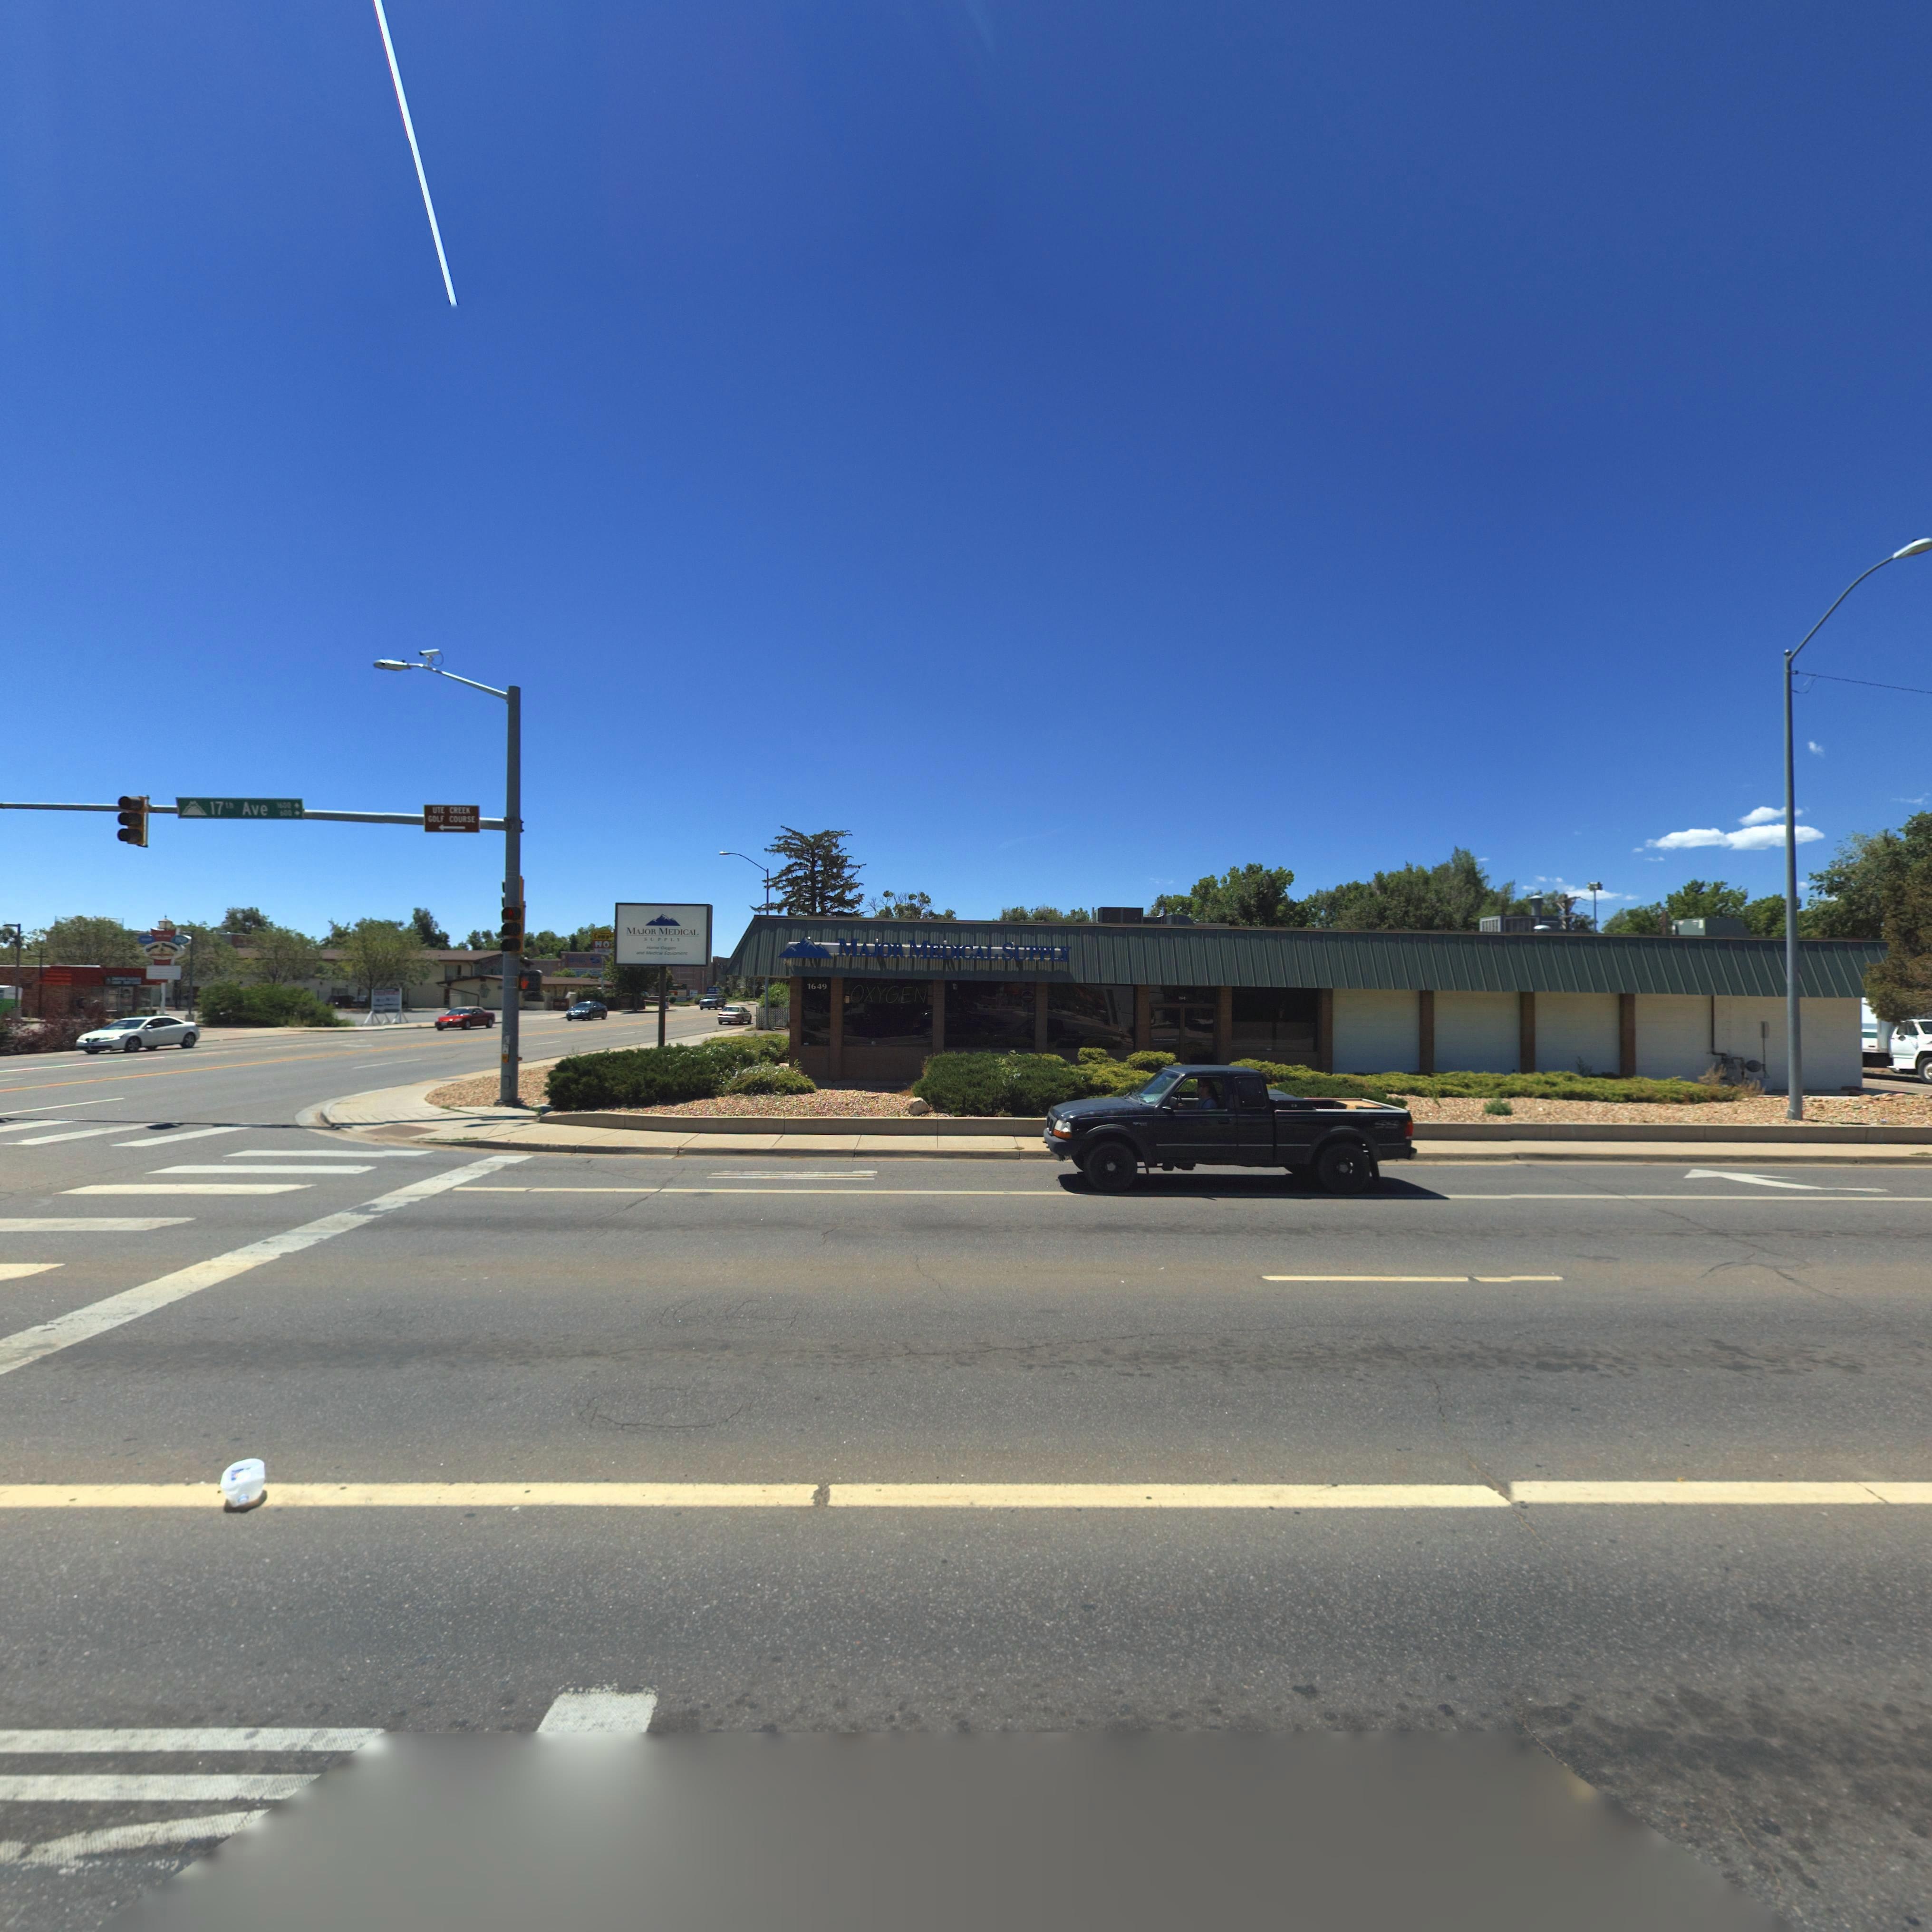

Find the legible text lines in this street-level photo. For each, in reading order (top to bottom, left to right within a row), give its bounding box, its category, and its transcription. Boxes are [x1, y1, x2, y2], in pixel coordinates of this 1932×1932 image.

[208, 800, 268, 816] StreetName: 17th Ave
[276, 801, 292, 809] StreetNumberRange: 1600
[279, 809, 300, 816] StreetNumberRange: 600->
[625, 927, 699, 936] BusinessName: MAJOR MEDICAL
[593, 933, 609, 940] BusinessName: Lamp
[643, 937, 681, 942] BusinessName: SUPPLY
[594, 940, 609, 947] BusinessName: MO
[835, 937, 1073, 963] BusinessName: MAJOR MEDICAL SUPPLY
[589, 956, 600, 964] BusinessName: 5
[806, 983, 827, 990] StreetNumber: 1649